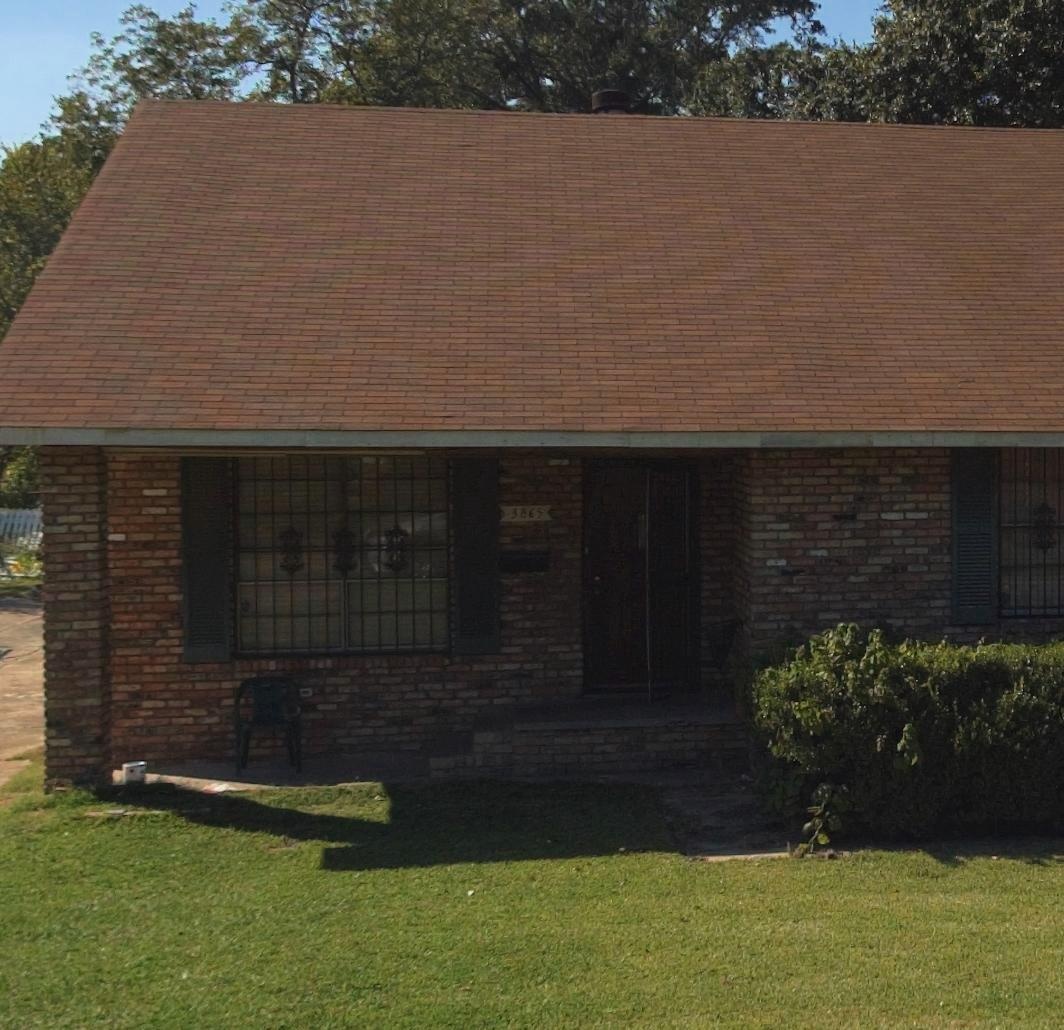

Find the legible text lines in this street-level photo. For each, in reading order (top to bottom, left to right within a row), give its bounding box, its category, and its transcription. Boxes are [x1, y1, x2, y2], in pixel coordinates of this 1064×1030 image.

[509, 506, 545, 521] StreetNumber: 3865